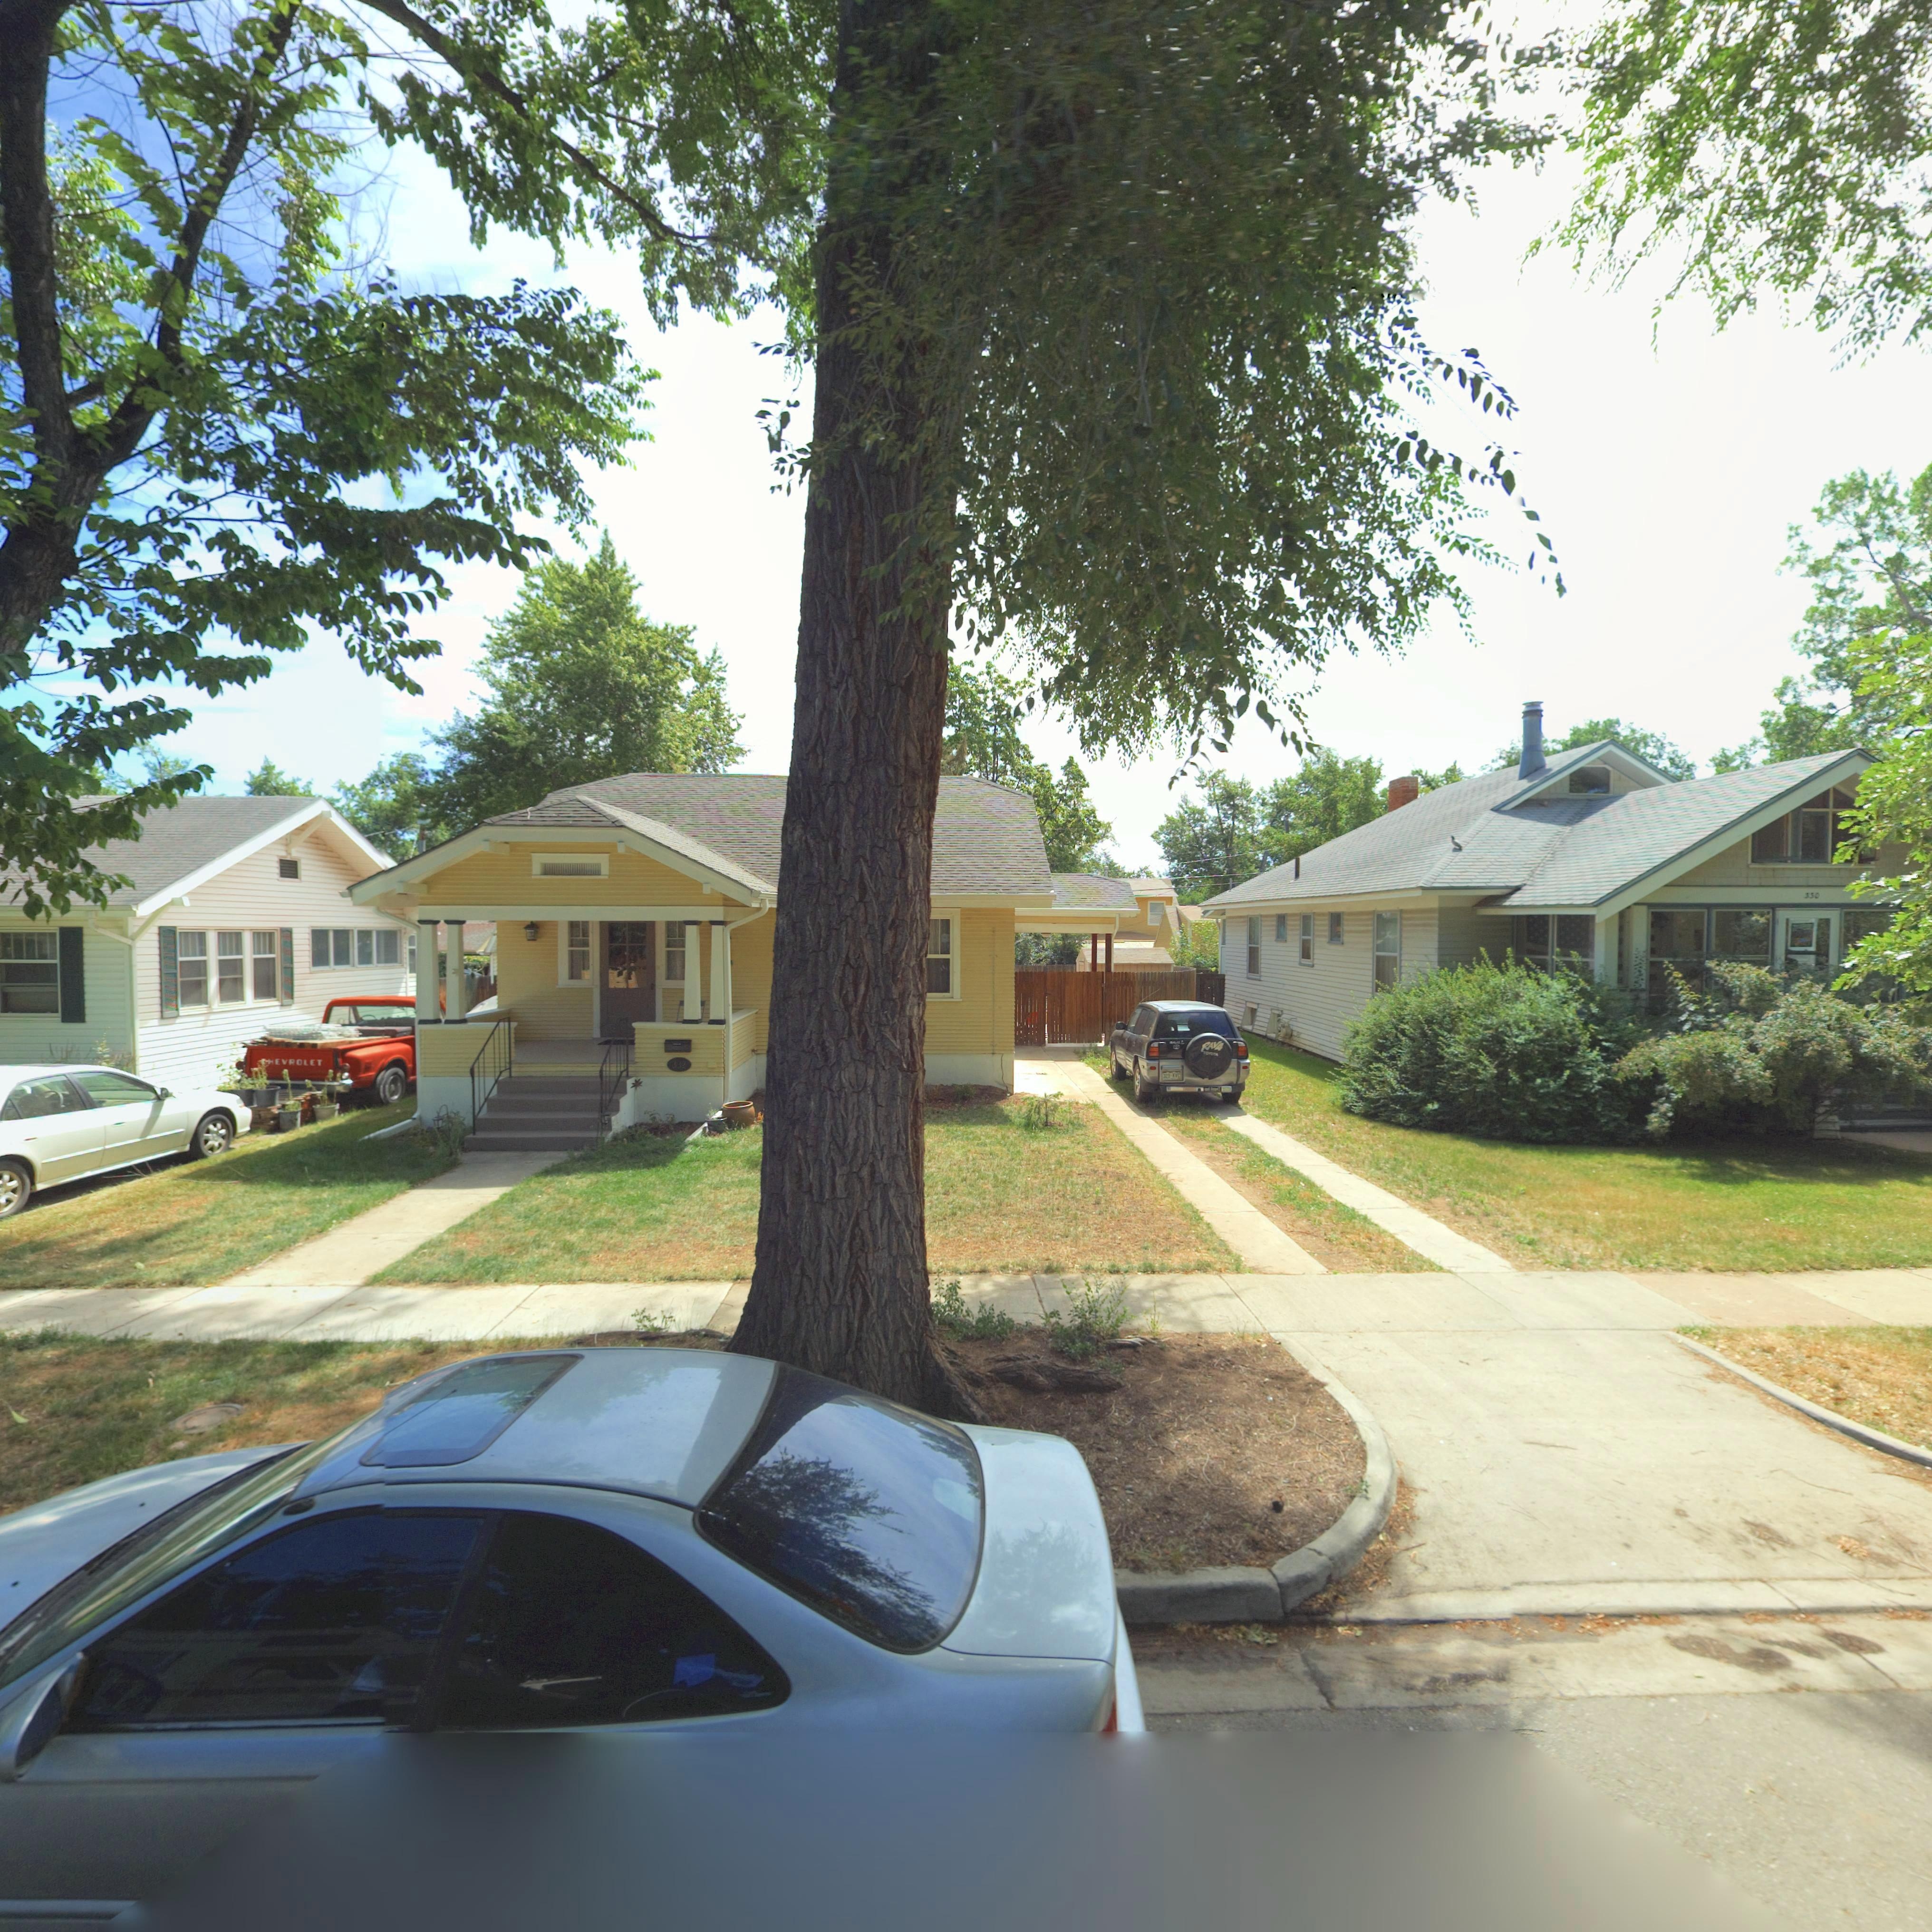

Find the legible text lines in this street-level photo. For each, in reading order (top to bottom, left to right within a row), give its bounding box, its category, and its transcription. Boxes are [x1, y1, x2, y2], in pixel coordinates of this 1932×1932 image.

[1804, 892, 1820, 899] StreetNumber: *30
[670, 1060, 686, 1069] StreetNumber: 332